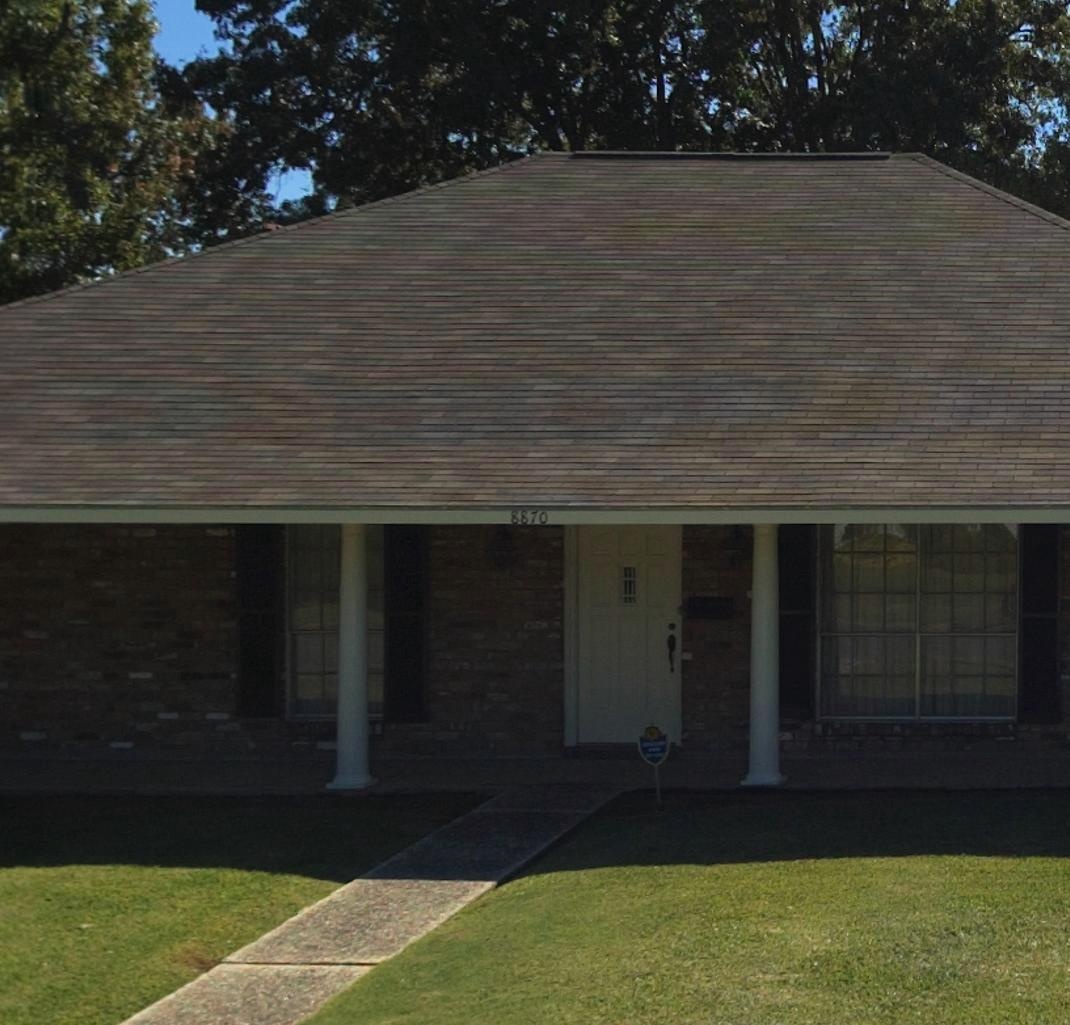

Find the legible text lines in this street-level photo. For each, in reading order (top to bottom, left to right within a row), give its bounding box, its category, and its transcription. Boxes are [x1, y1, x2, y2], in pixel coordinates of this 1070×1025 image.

[509, 509, 550, 525] StreetNumber: 8870